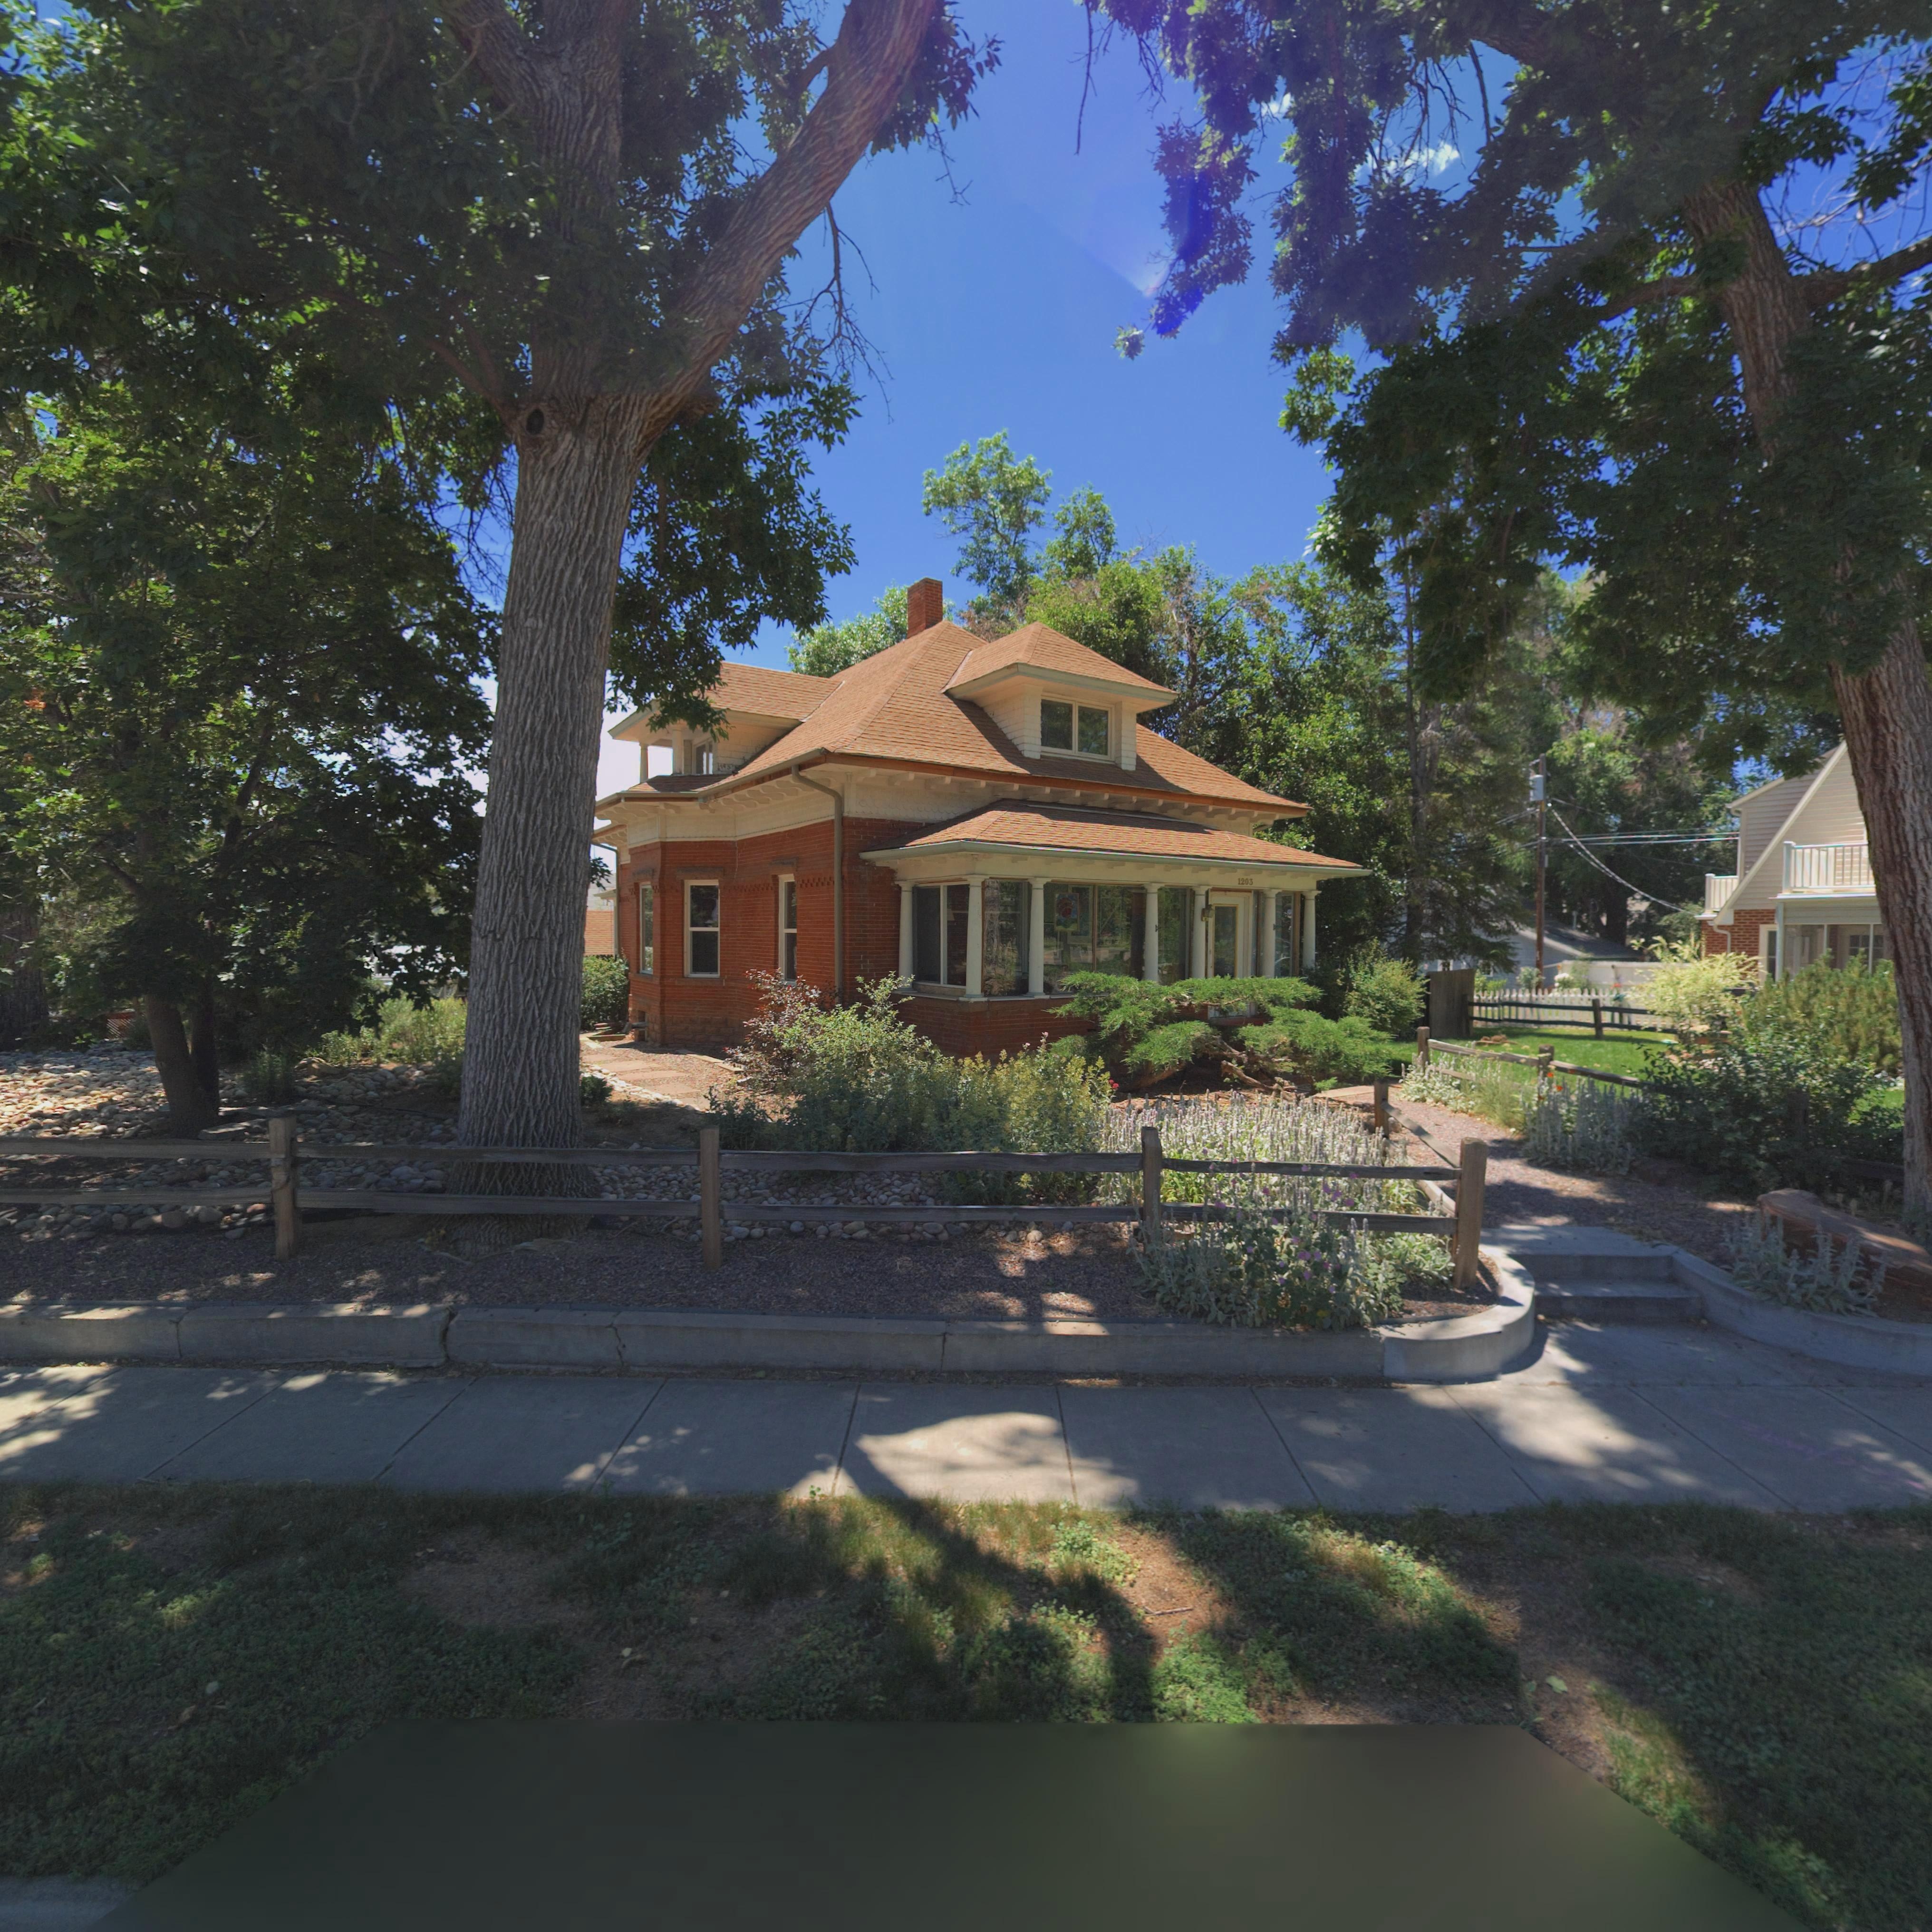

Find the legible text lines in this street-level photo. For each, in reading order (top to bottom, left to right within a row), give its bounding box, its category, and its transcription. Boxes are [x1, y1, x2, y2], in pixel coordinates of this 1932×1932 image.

[1237, 878, 1253, 885] StreetNumber: 1203